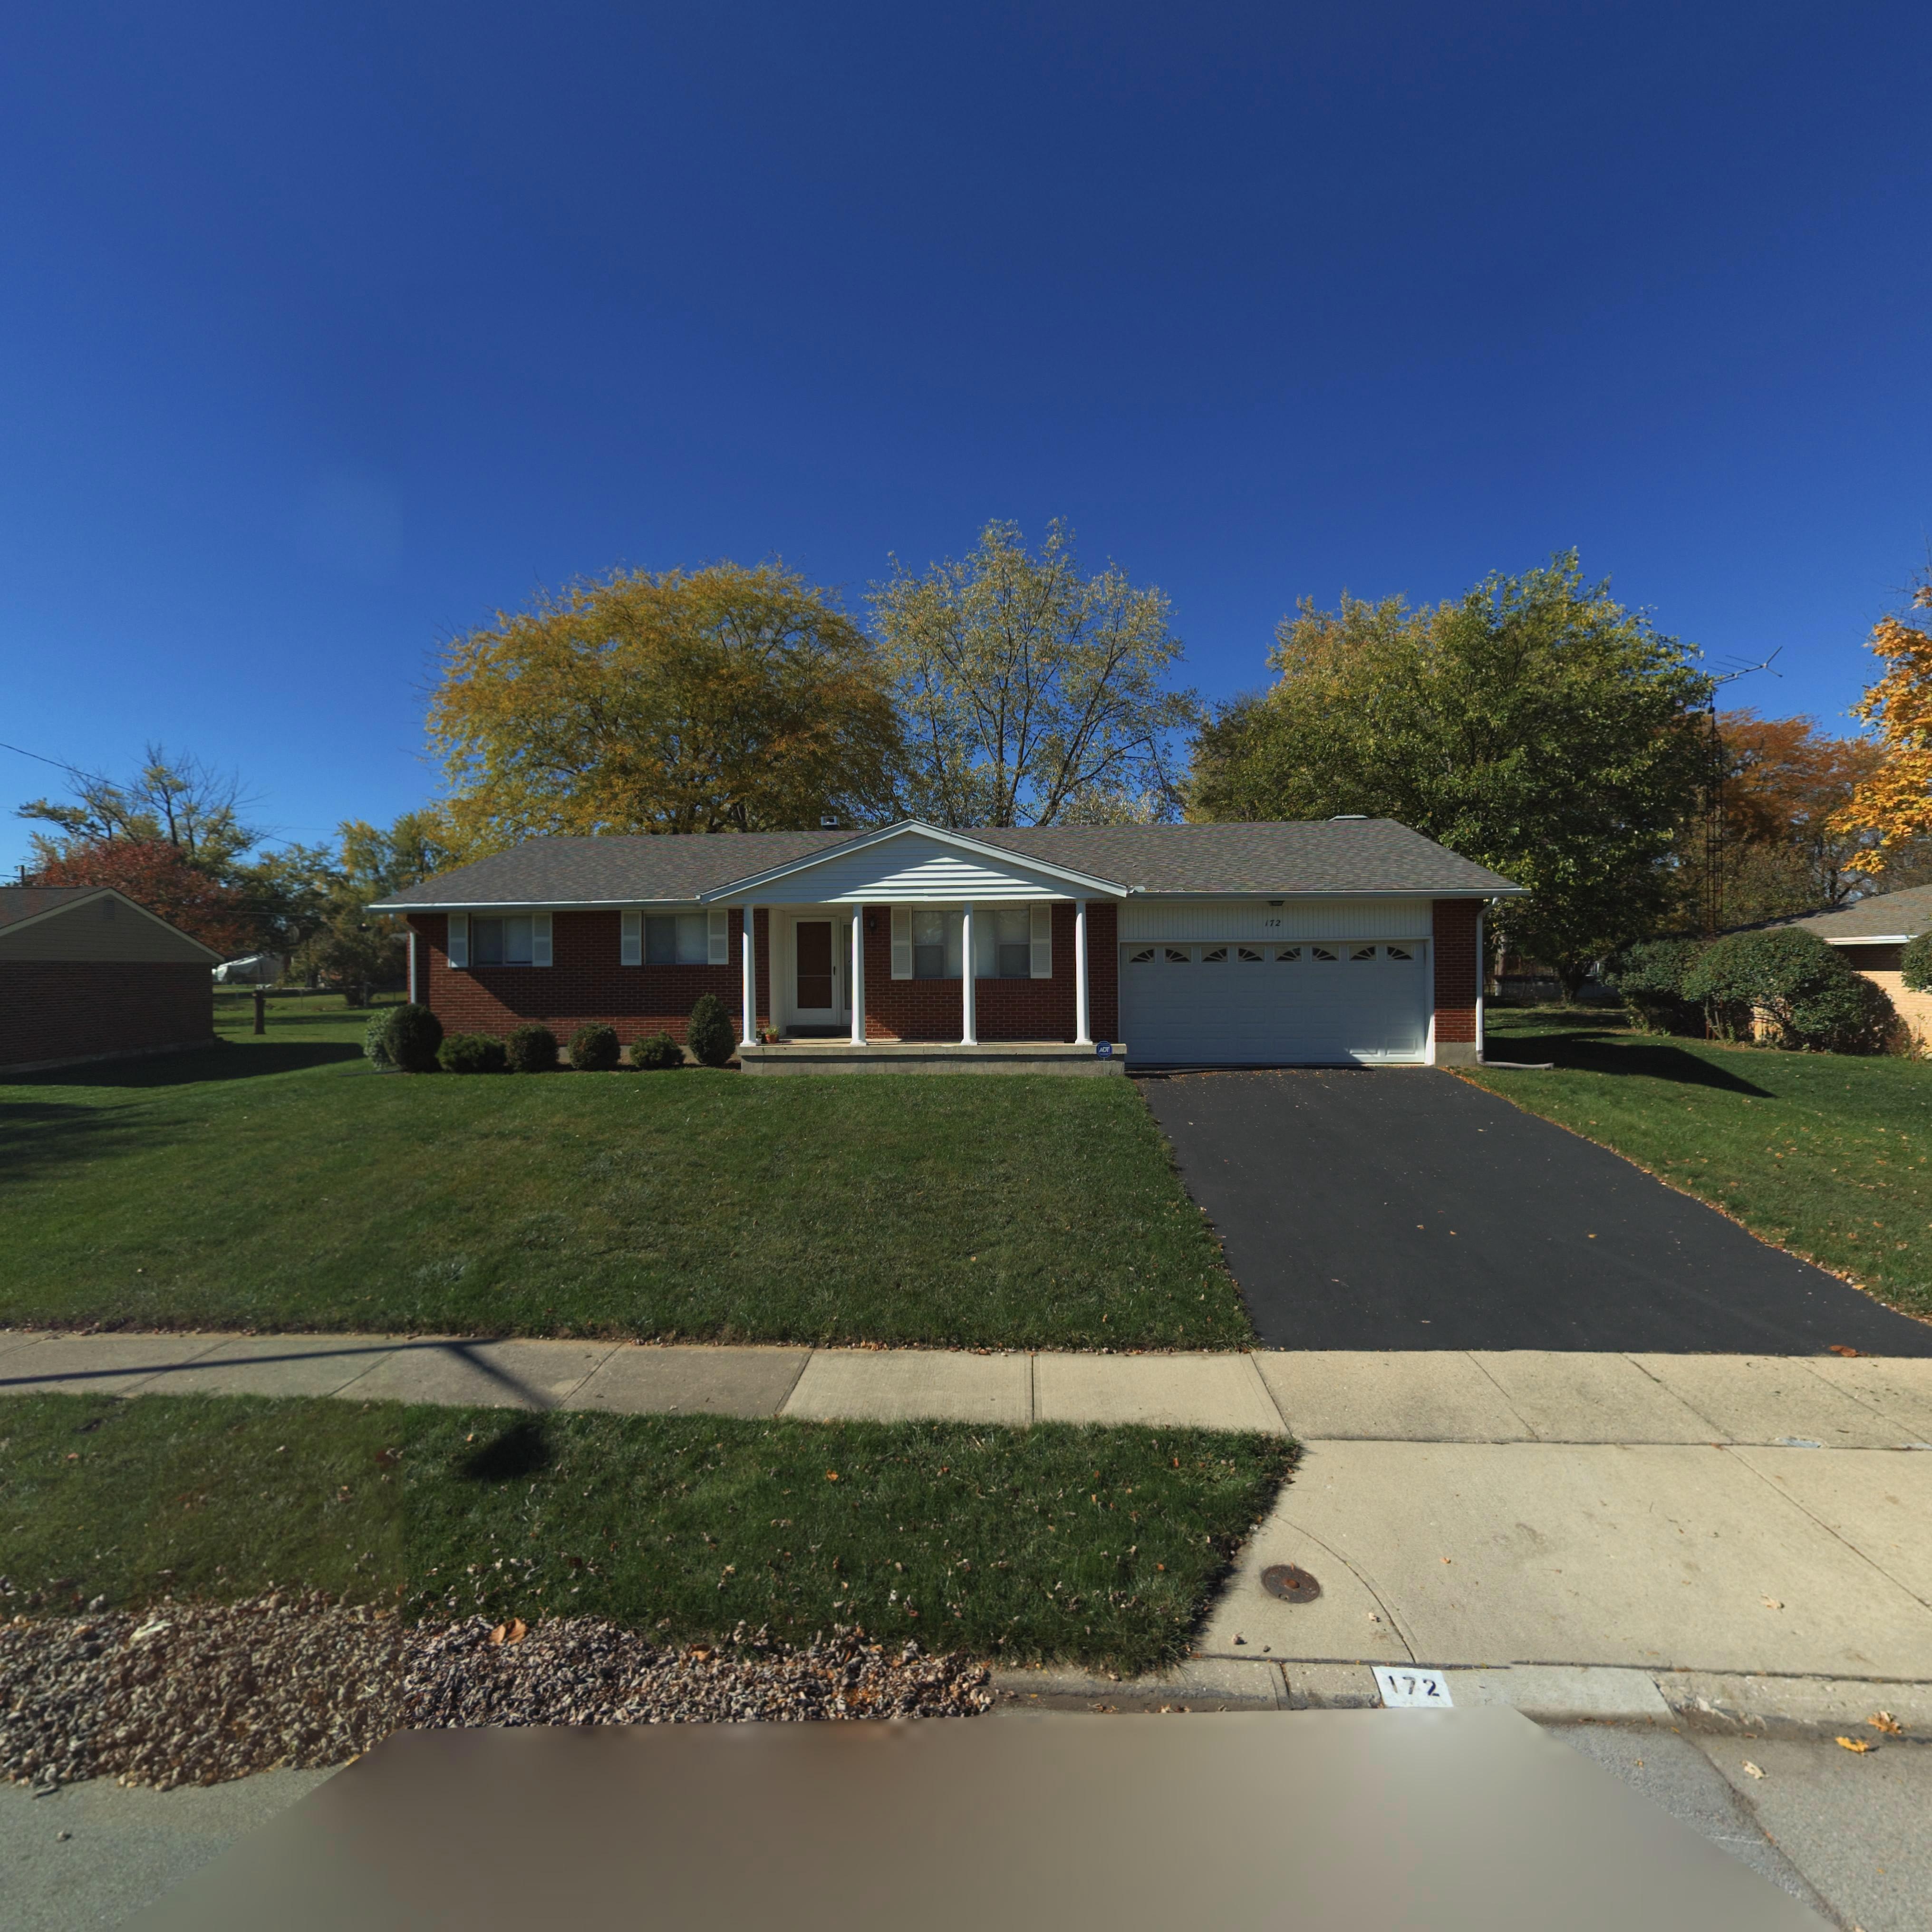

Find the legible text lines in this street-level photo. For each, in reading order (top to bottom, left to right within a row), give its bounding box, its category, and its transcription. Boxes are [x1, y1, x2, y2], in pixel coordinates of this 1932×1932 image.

[1264, 918, 1282, 927] StreetNumber: 172
[1387, 1674, 1441, 1698] StreetNumber: 172